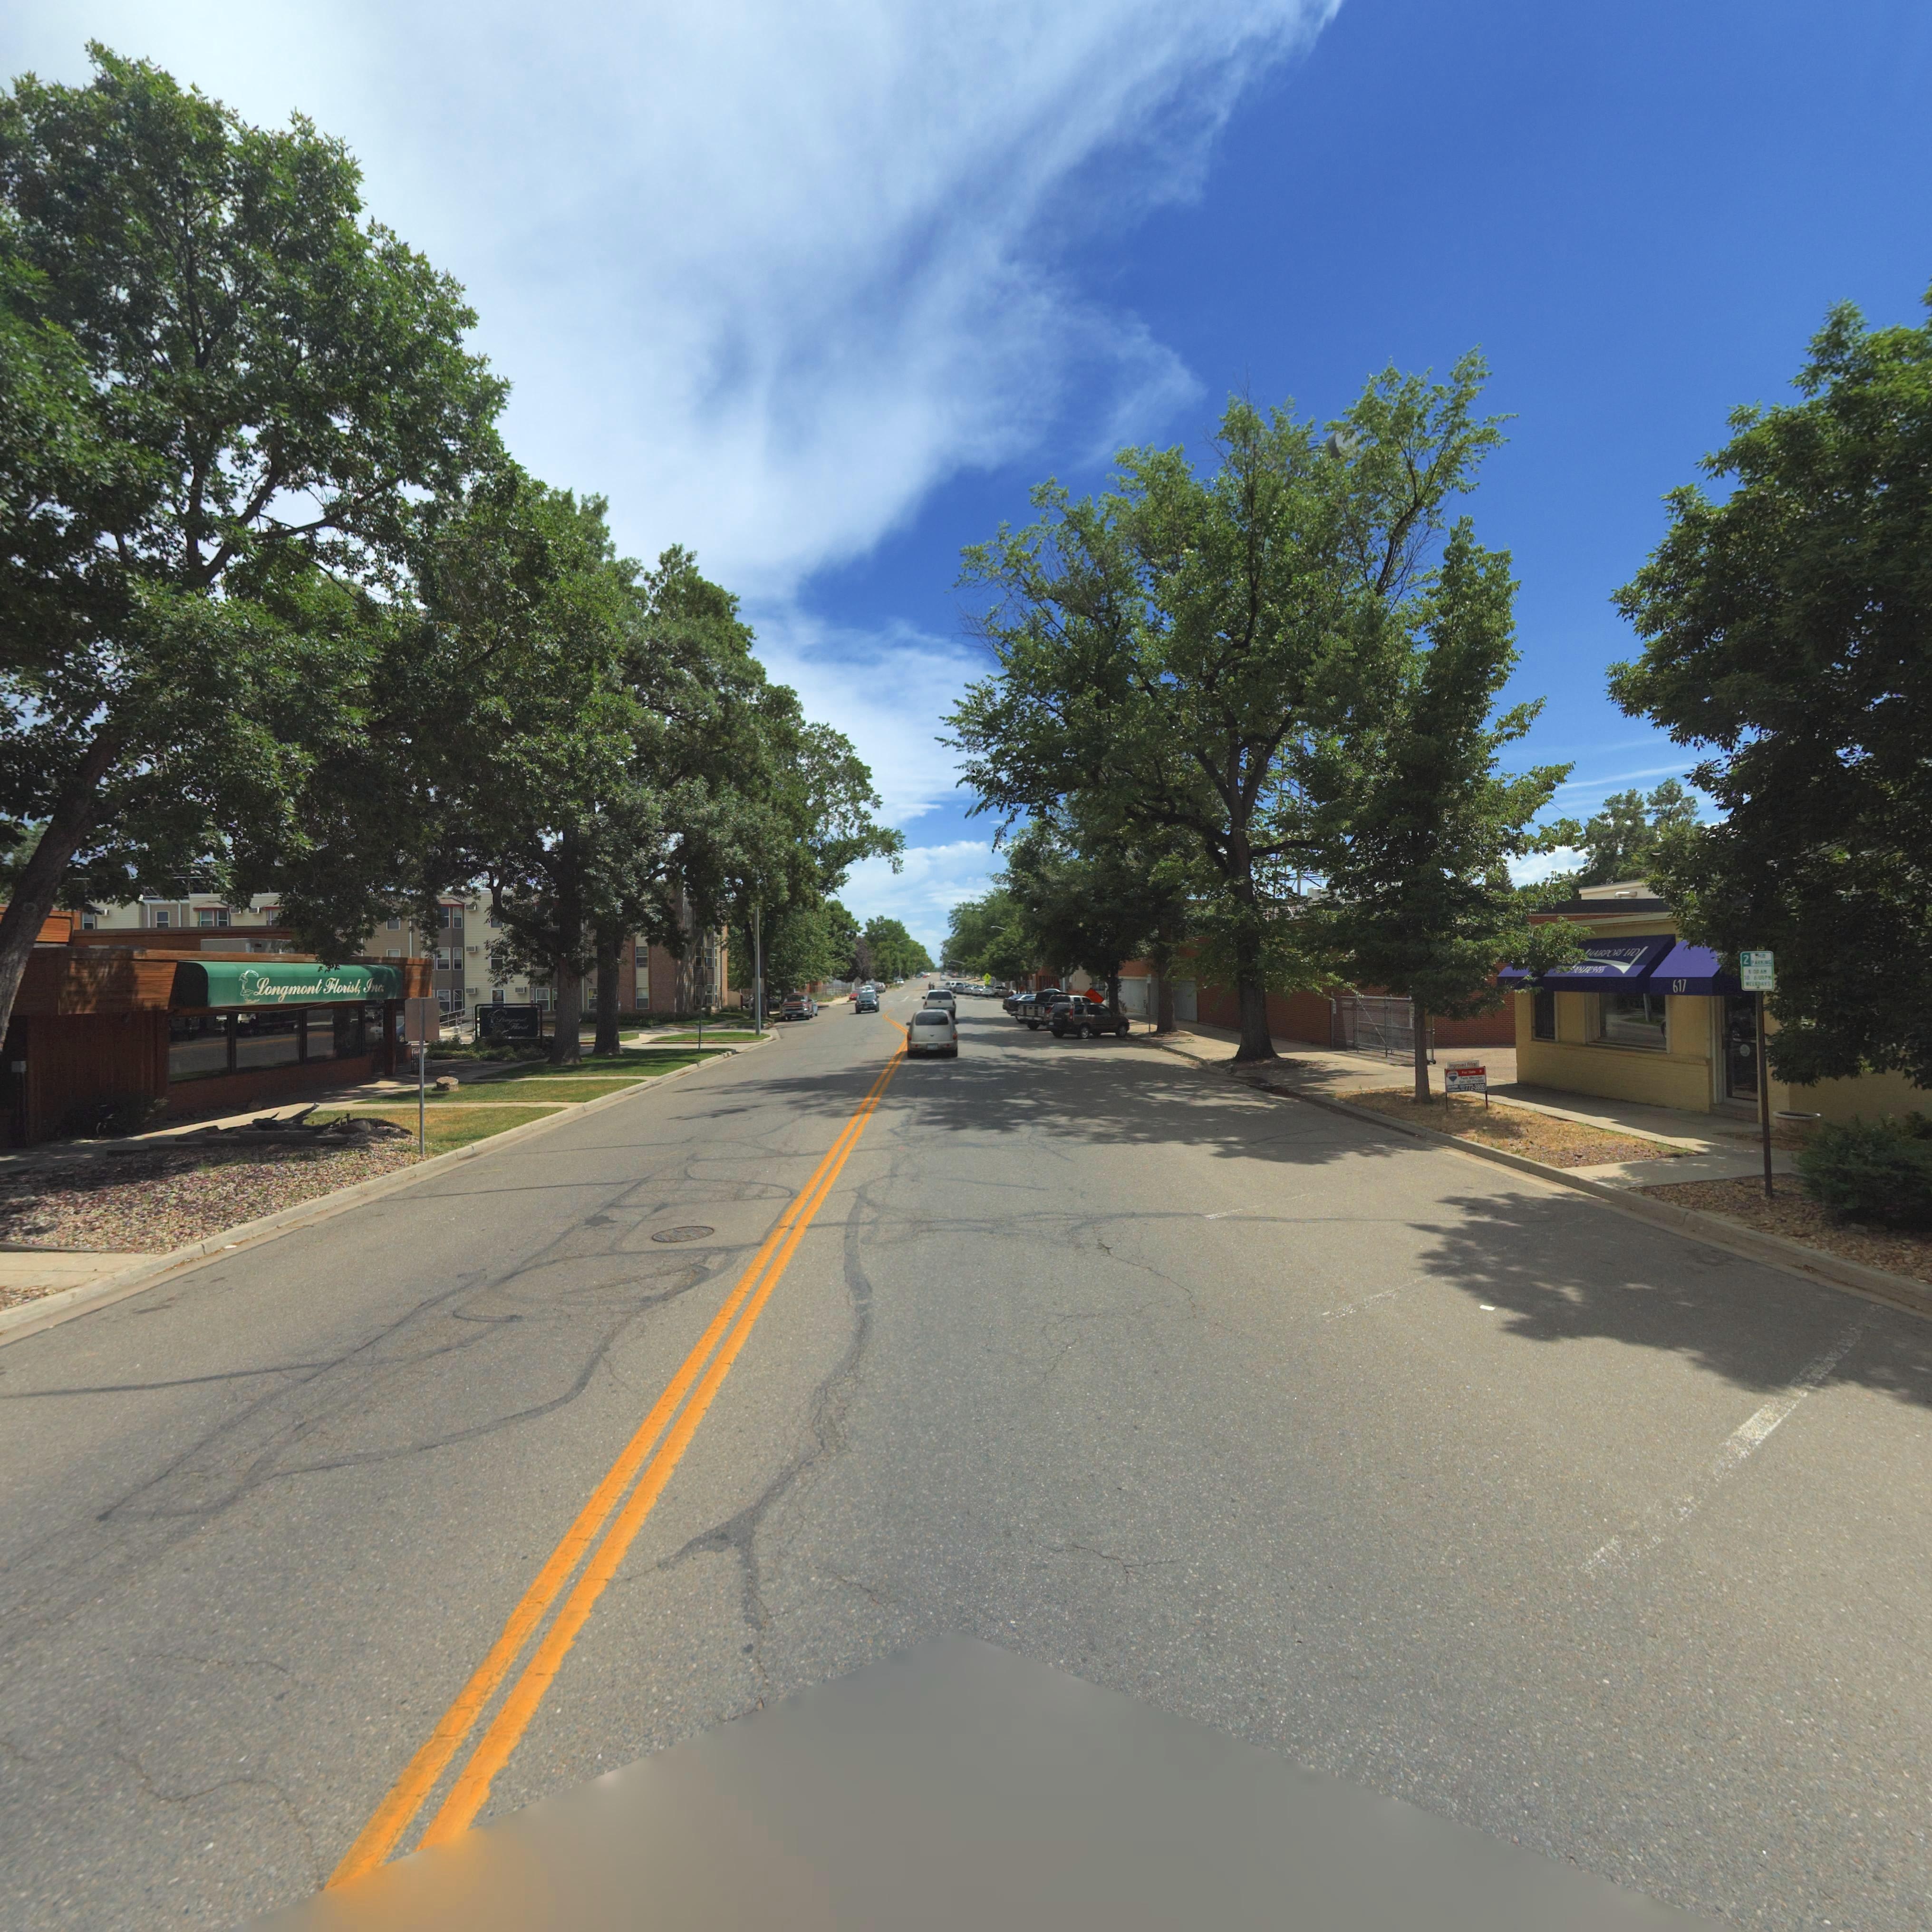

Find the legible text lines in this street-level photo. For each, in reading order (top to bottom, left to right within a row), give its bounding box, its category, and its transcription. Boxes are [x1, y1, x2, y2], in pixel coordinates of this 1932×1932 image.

[1585, 947, 1641, 957] BusinessName: HAIRPORT LTD
[253, 976, 386, 1003] BusinessName: Longmont Florist, Inc.
[1672, 979, 1687, 993] StreetNumber: 617
[495, 1015, 528, 1025] BusinessName: L**g***t
[508, 1022, 530, 1031] BusinessName: Flo*ist